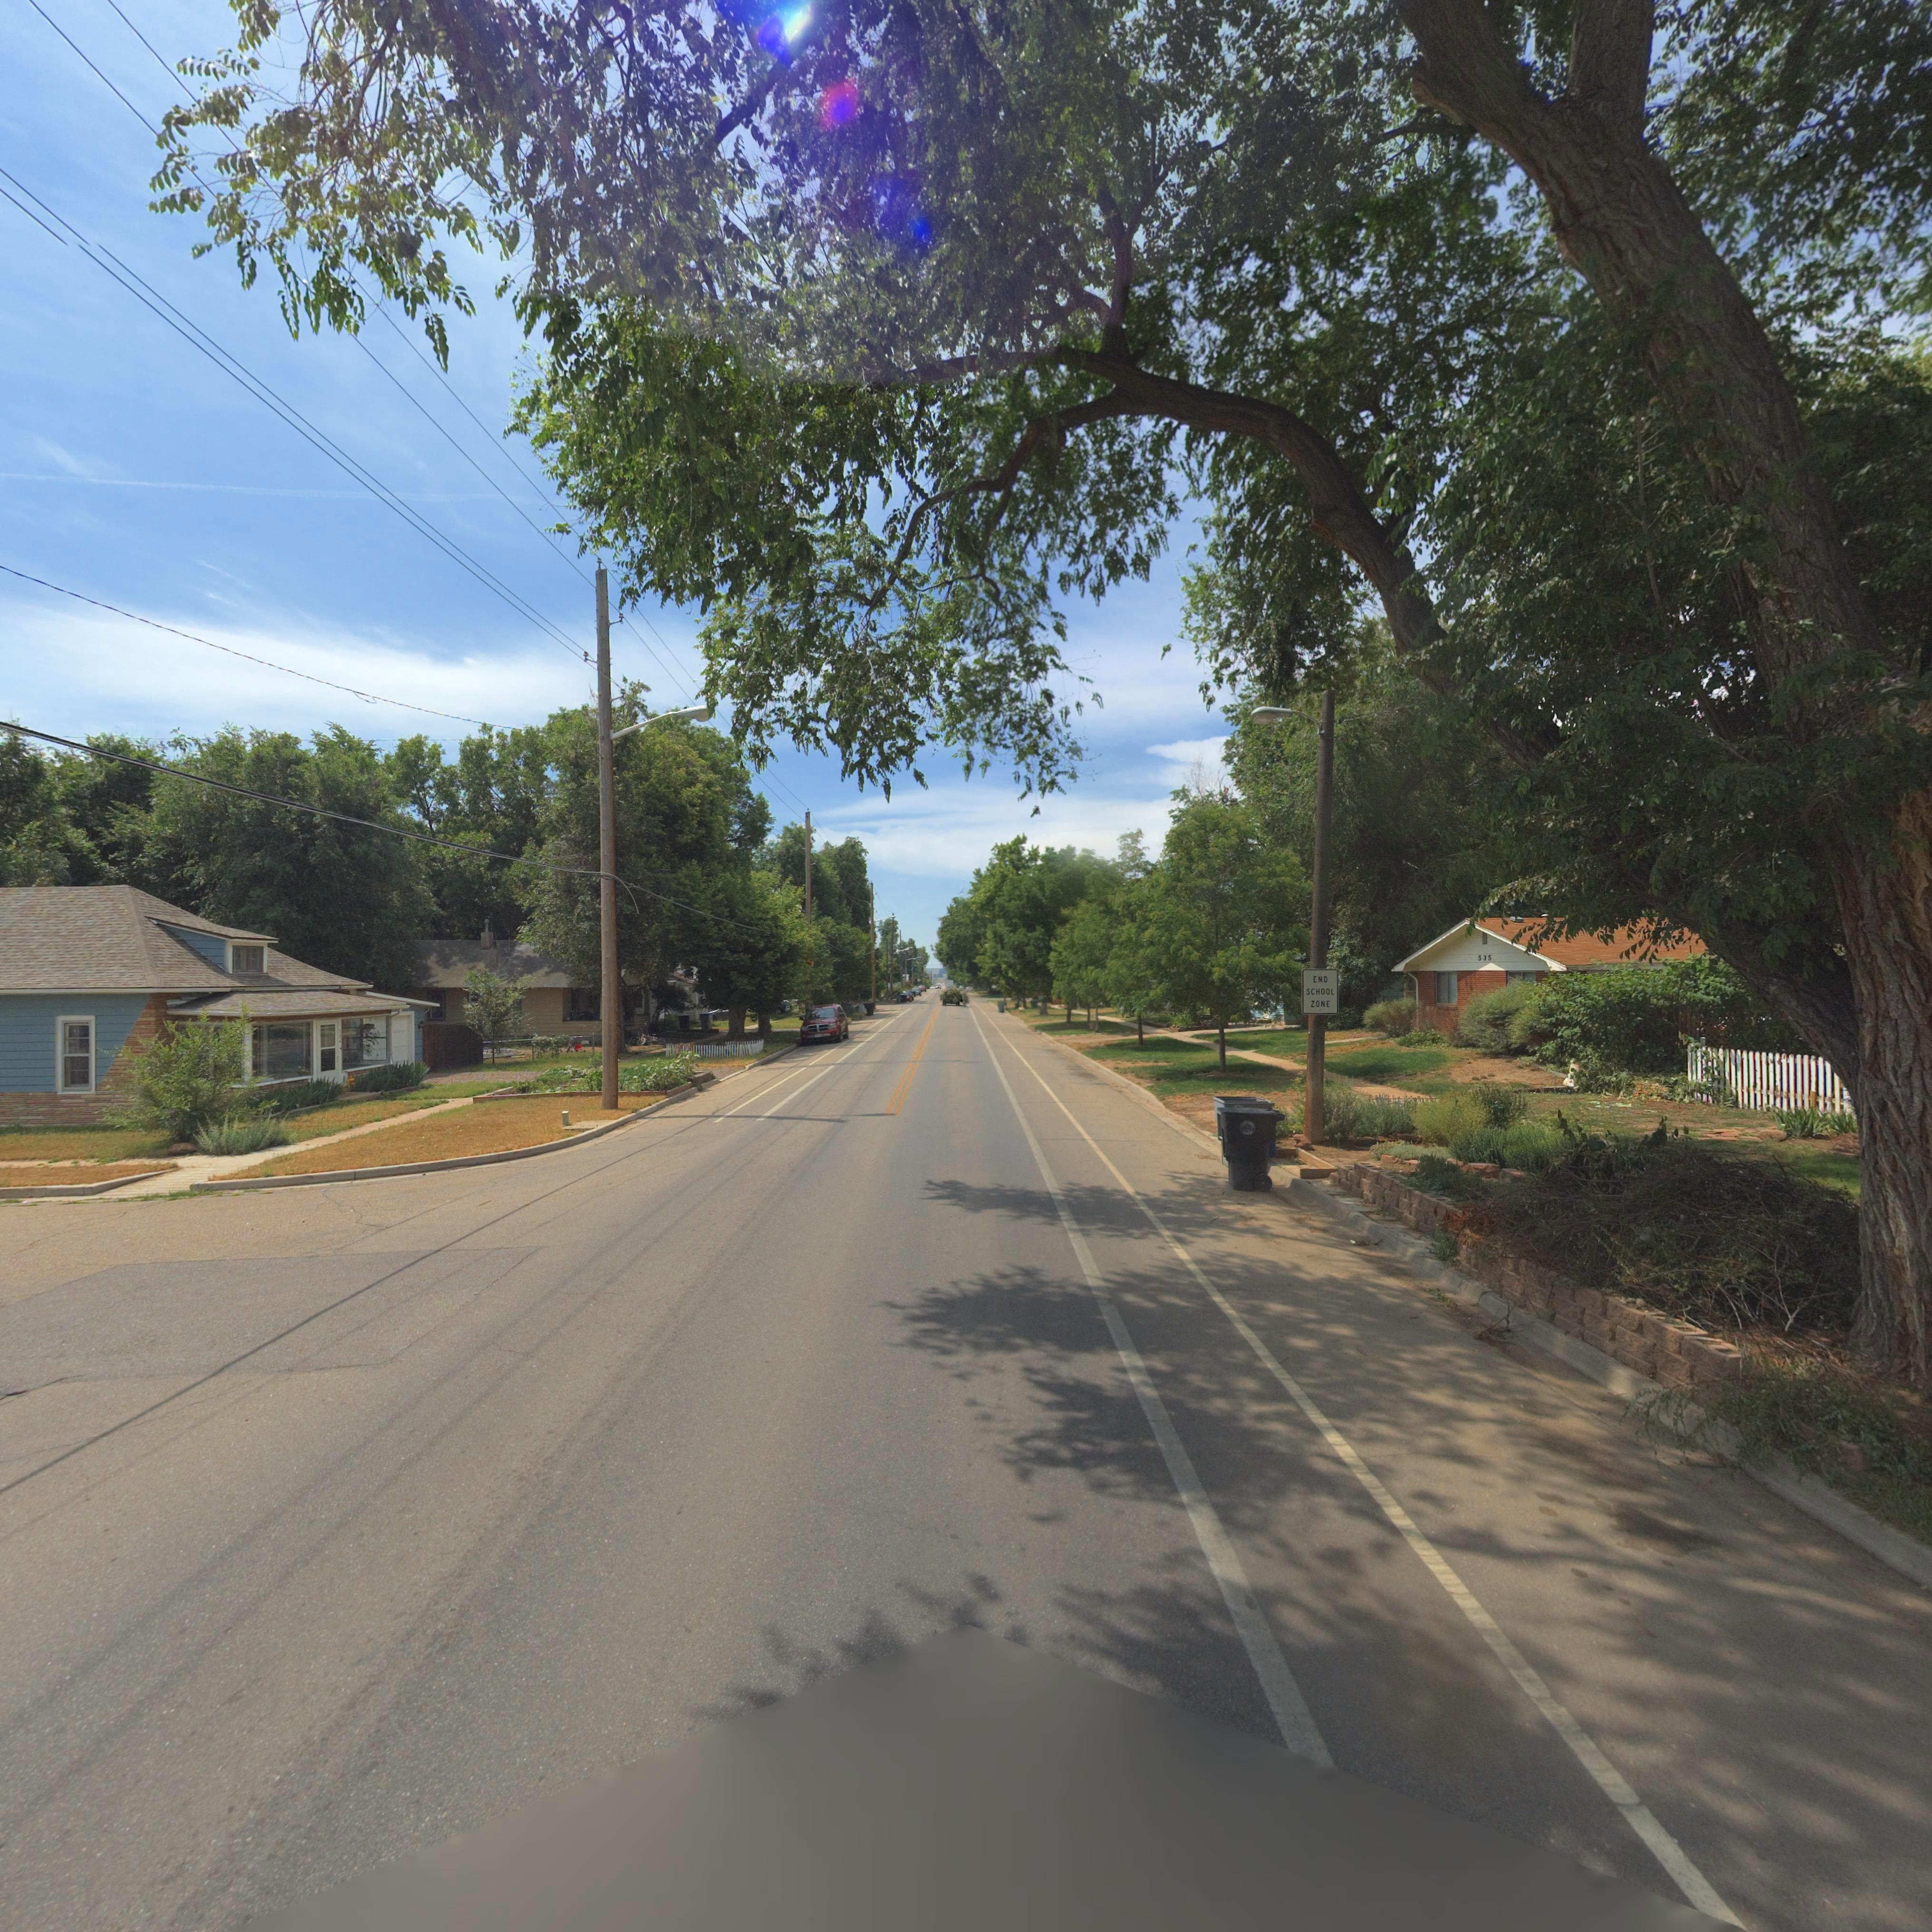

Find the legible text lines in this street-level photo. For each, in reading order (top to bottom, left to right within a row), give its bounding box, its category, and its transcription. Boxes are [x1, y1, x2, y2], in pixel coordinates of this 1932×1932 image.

[1478, 955, 1491, 960] StreetNumber: 535
[338, 1028, 341, 1044] StreetNumber: 534